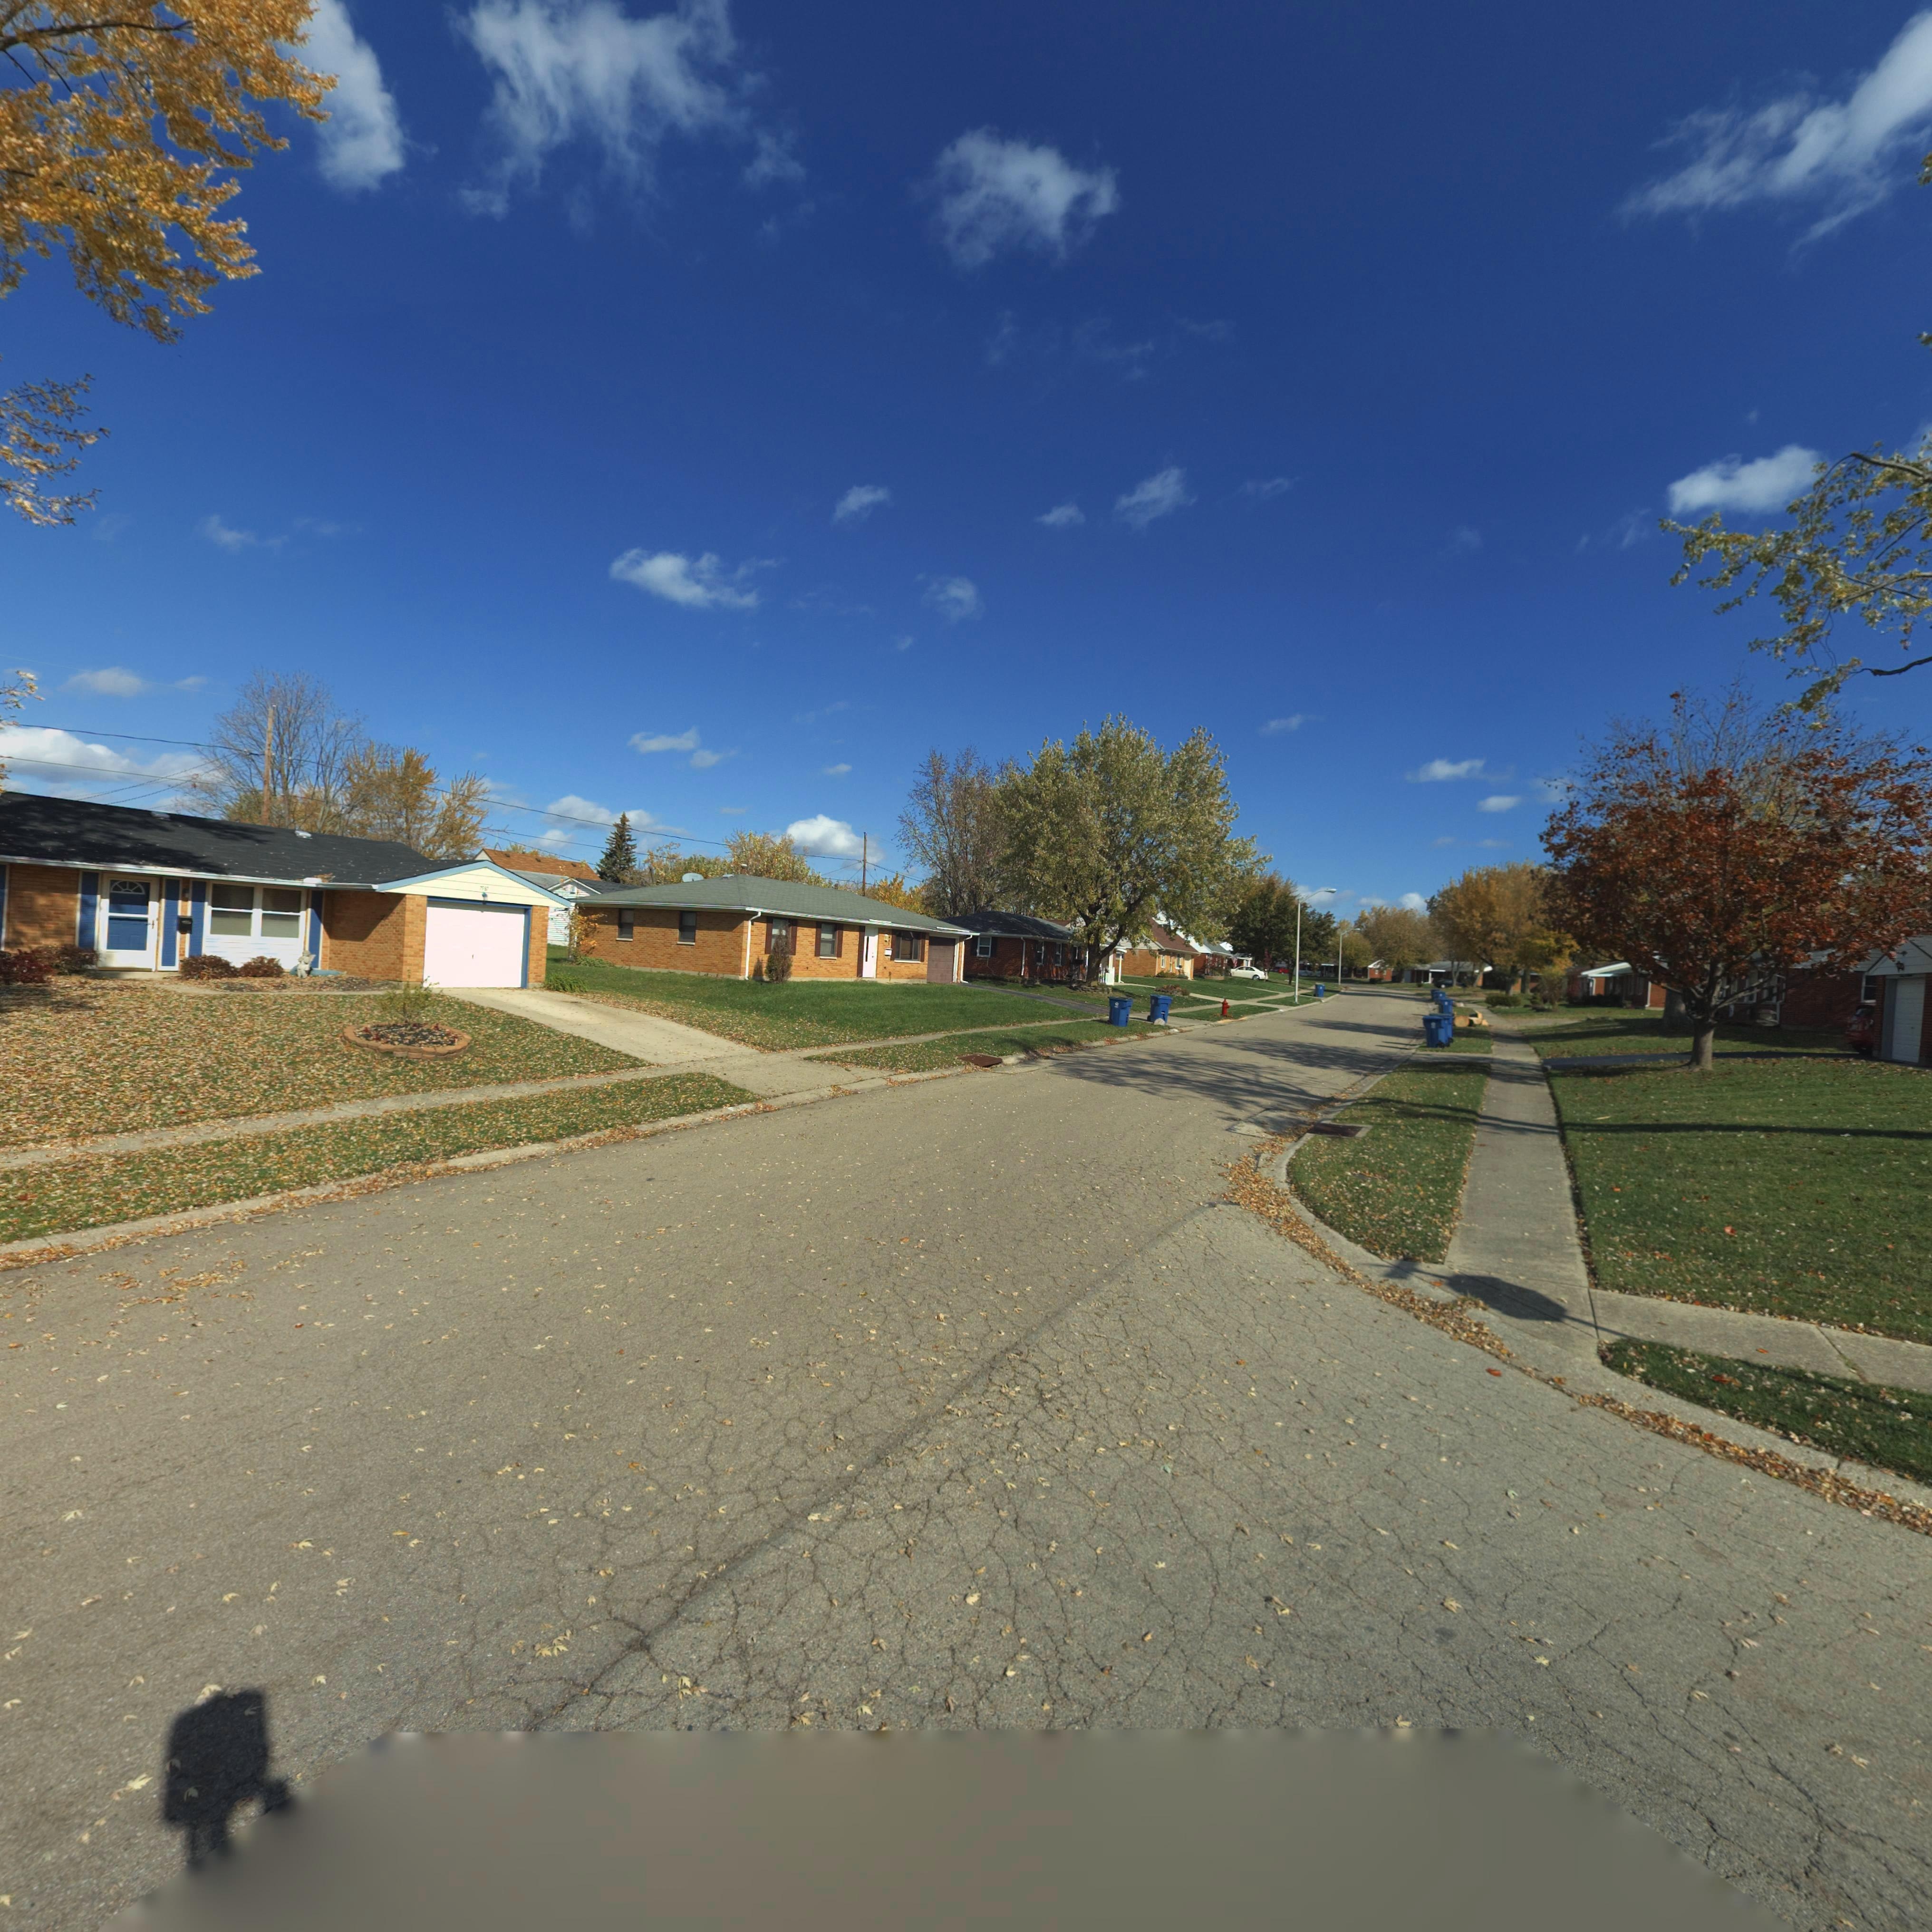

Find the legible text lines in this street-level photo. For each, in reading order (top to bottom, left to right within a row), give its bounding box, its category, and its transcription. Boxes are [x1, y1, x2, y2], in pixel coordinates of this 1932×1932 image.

[478, 885, 490, 892] StreetNumber: 75*7